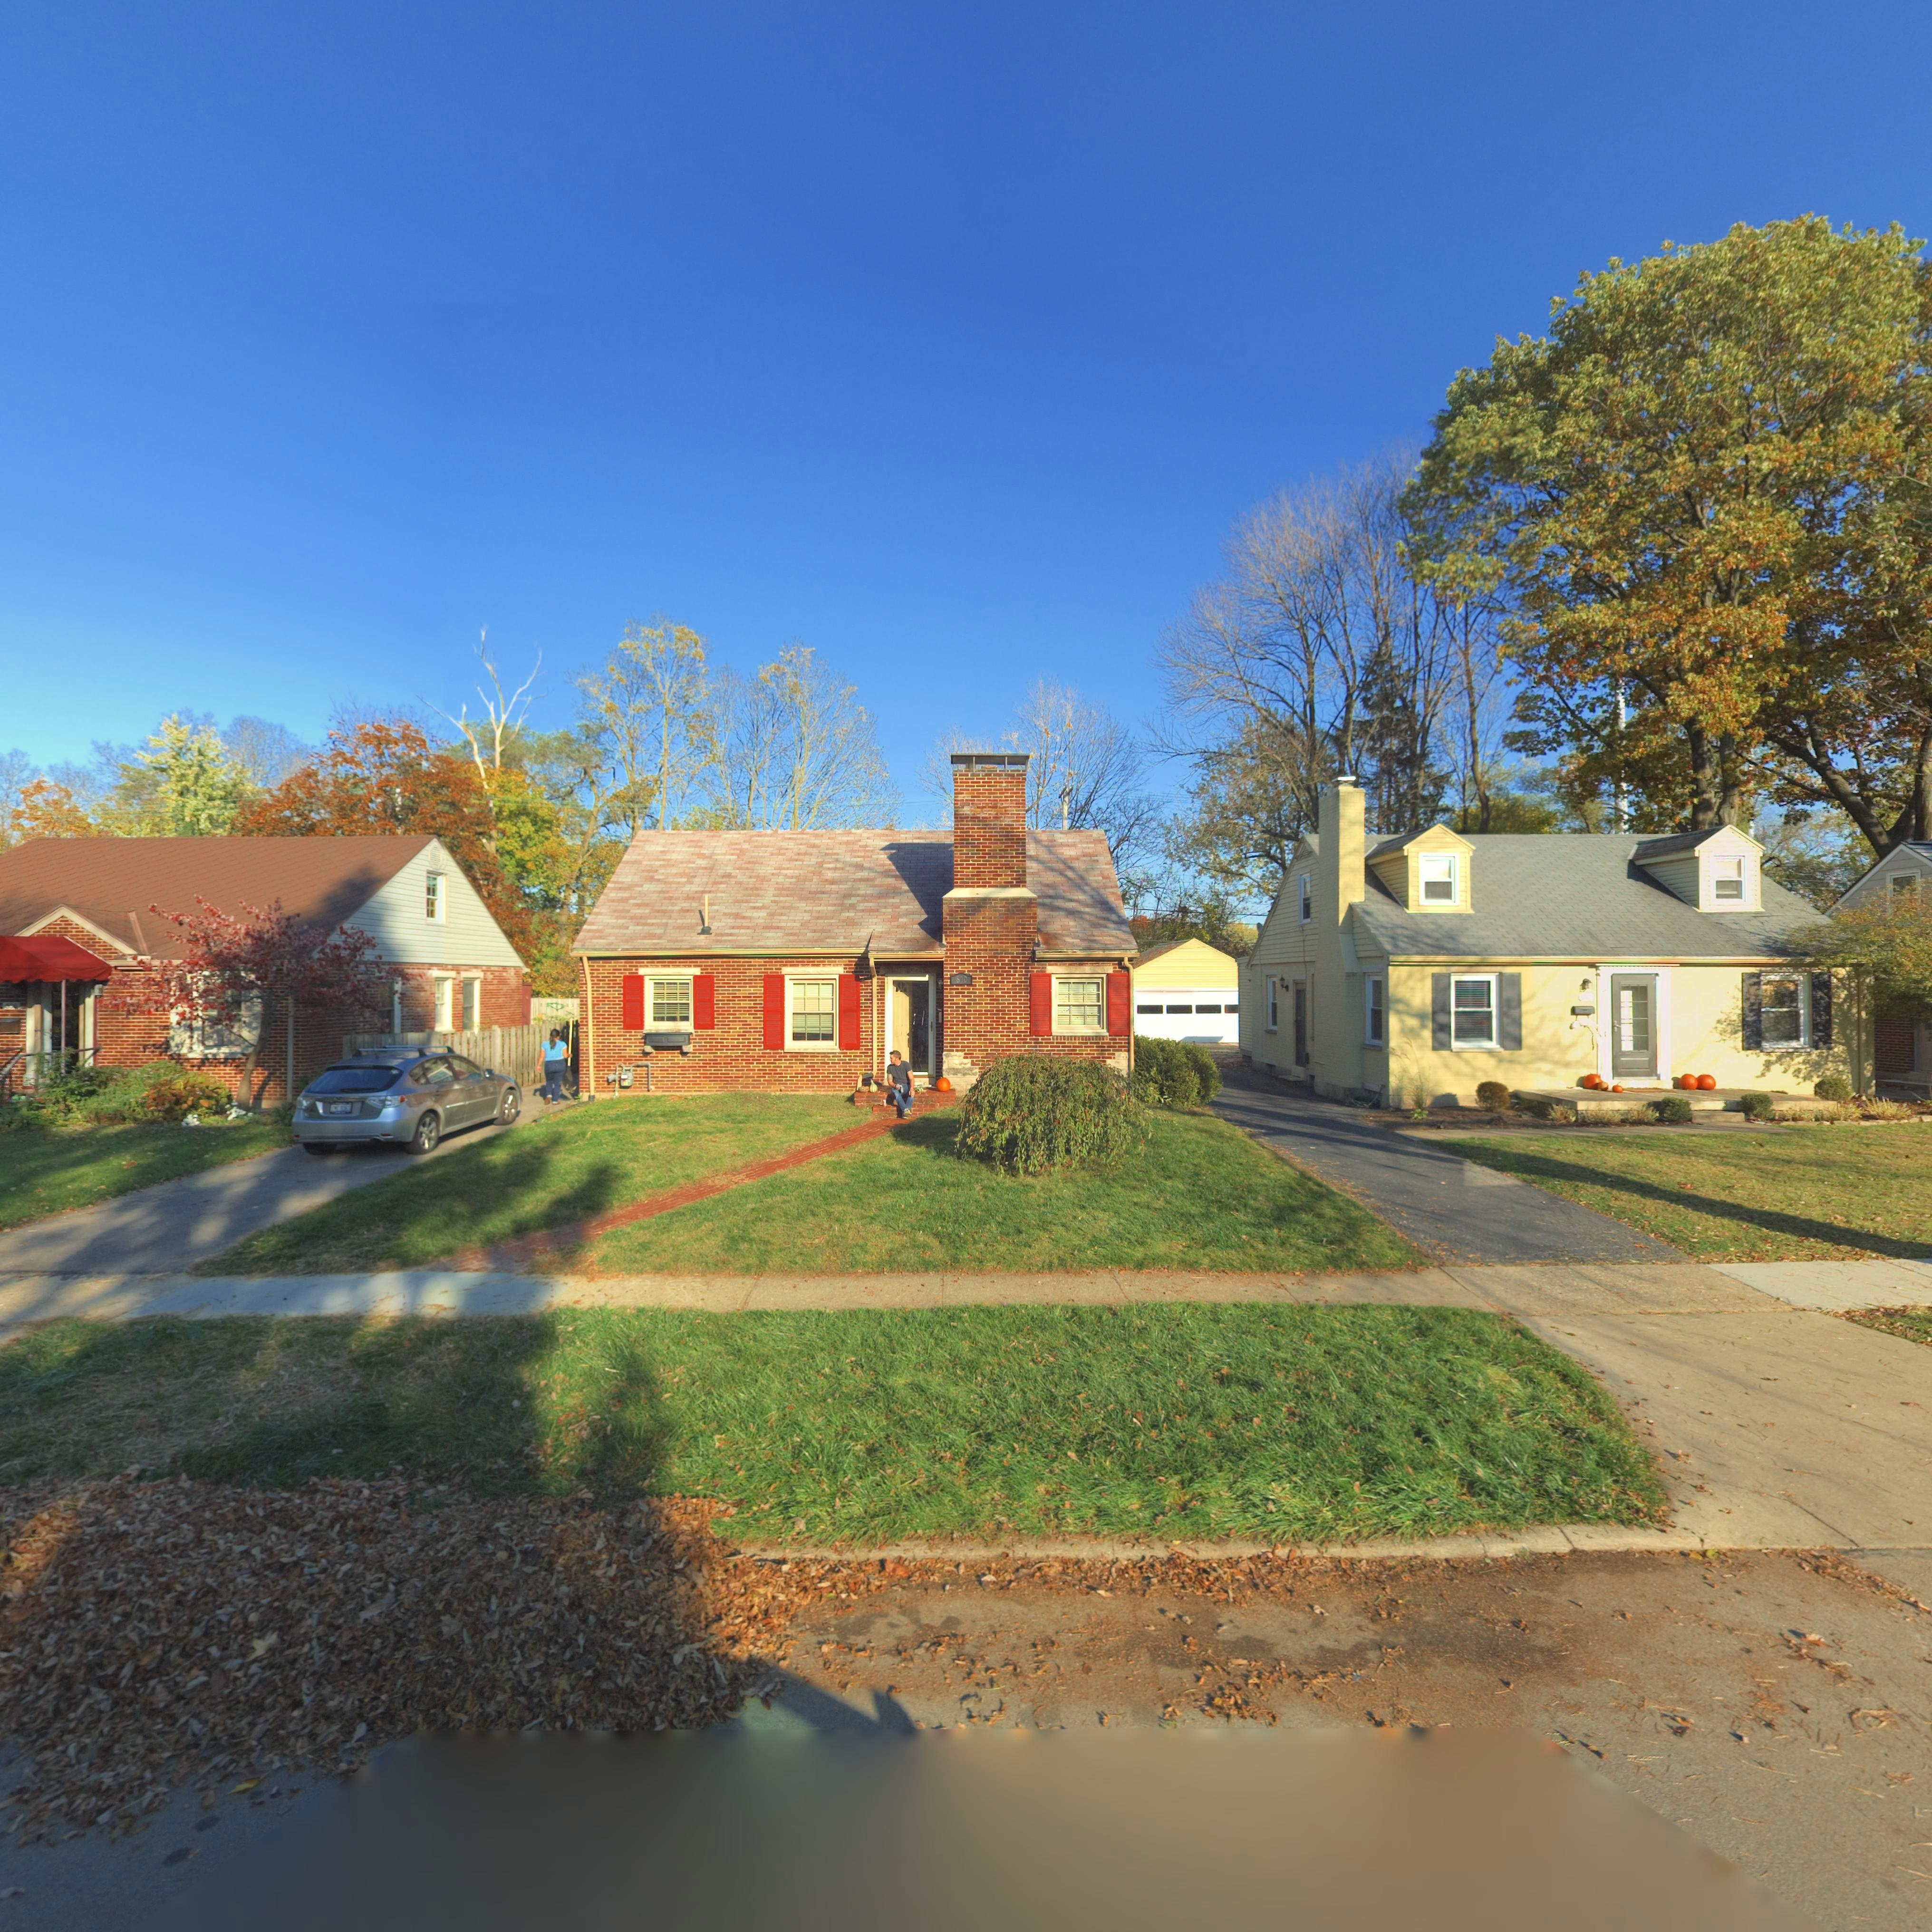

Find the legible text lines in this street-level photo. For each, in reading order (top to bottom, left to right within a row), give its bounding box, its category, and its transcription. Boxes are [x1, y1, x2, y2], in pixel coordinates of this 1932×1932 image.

[956, 975, 967, 983] StreetNumber: 810